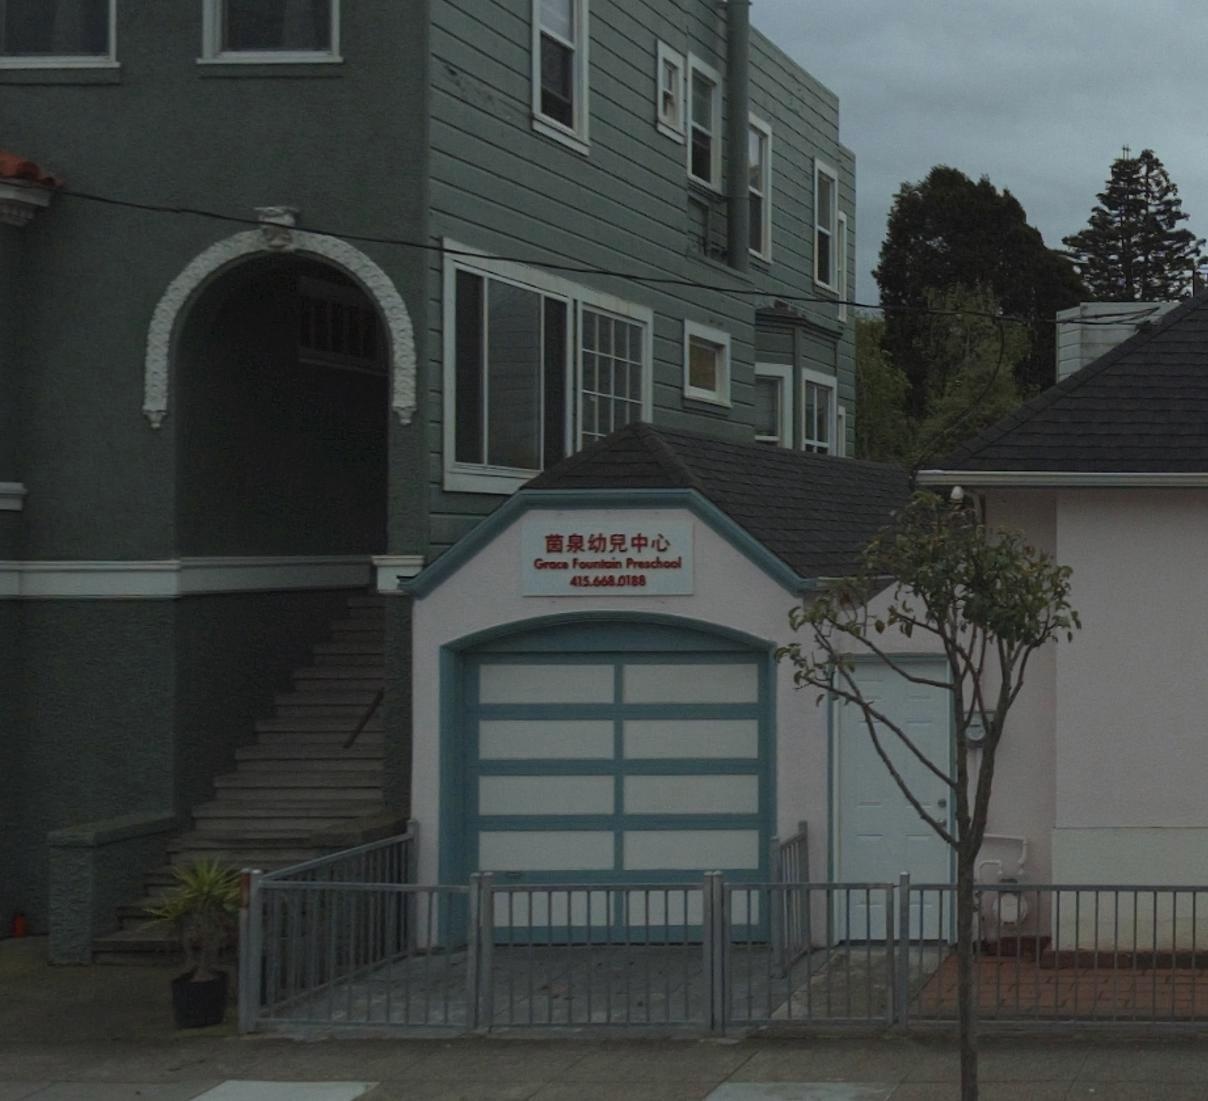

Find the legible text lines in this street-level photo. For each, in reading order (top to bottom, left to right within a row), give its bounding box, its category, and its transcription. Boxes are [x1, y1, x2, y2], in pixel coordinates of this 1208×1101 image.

[531, 555, 685, 572] BusinessName: Grace Fountain Preschool
[567, 573, 649, 590] None: 415.668.0188